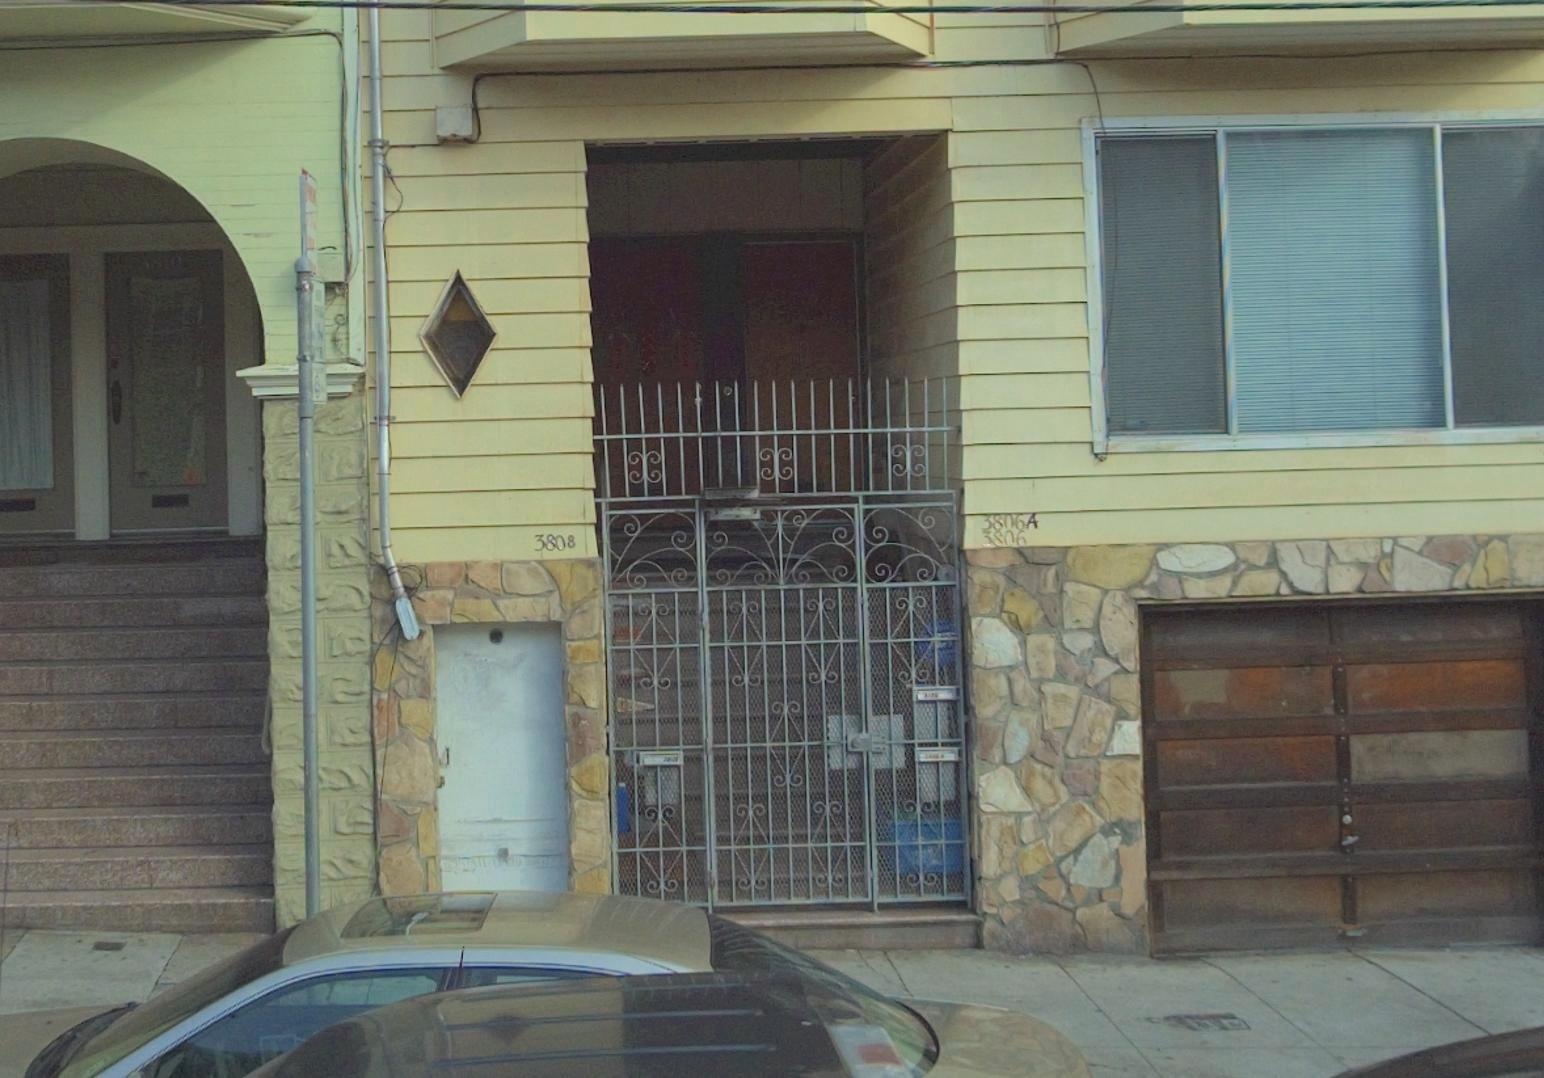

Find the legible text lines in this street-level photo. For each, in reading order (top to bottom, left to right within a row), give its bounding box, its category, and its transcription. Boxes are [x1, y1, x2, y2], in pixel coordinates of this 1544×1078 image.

[980, 513, 1044, 531] StreetNumber: 3806A
[530, 532, 577, 553] StreetNumber: 3808
[981, 531, 1029, 547] StreetNumber: 3806